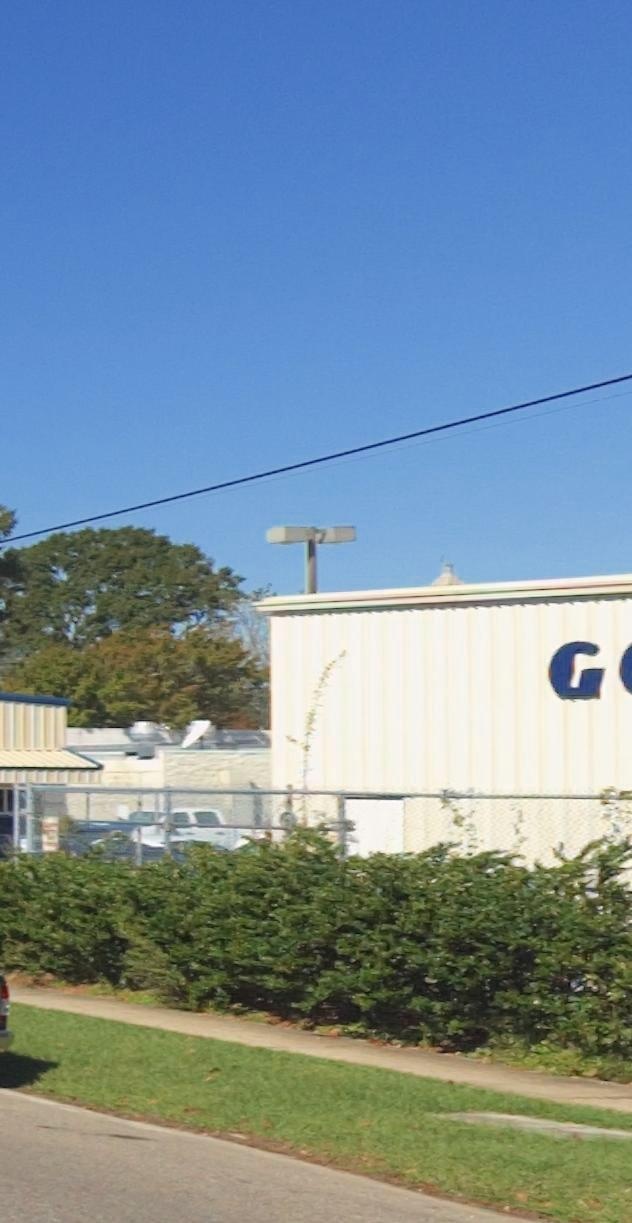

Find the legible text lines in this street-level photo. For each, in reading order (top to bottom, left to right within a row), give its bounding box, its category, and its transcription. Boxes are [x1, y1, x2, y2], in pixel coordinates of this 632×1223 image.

[542, 636, 611, 704] BusinessName: G